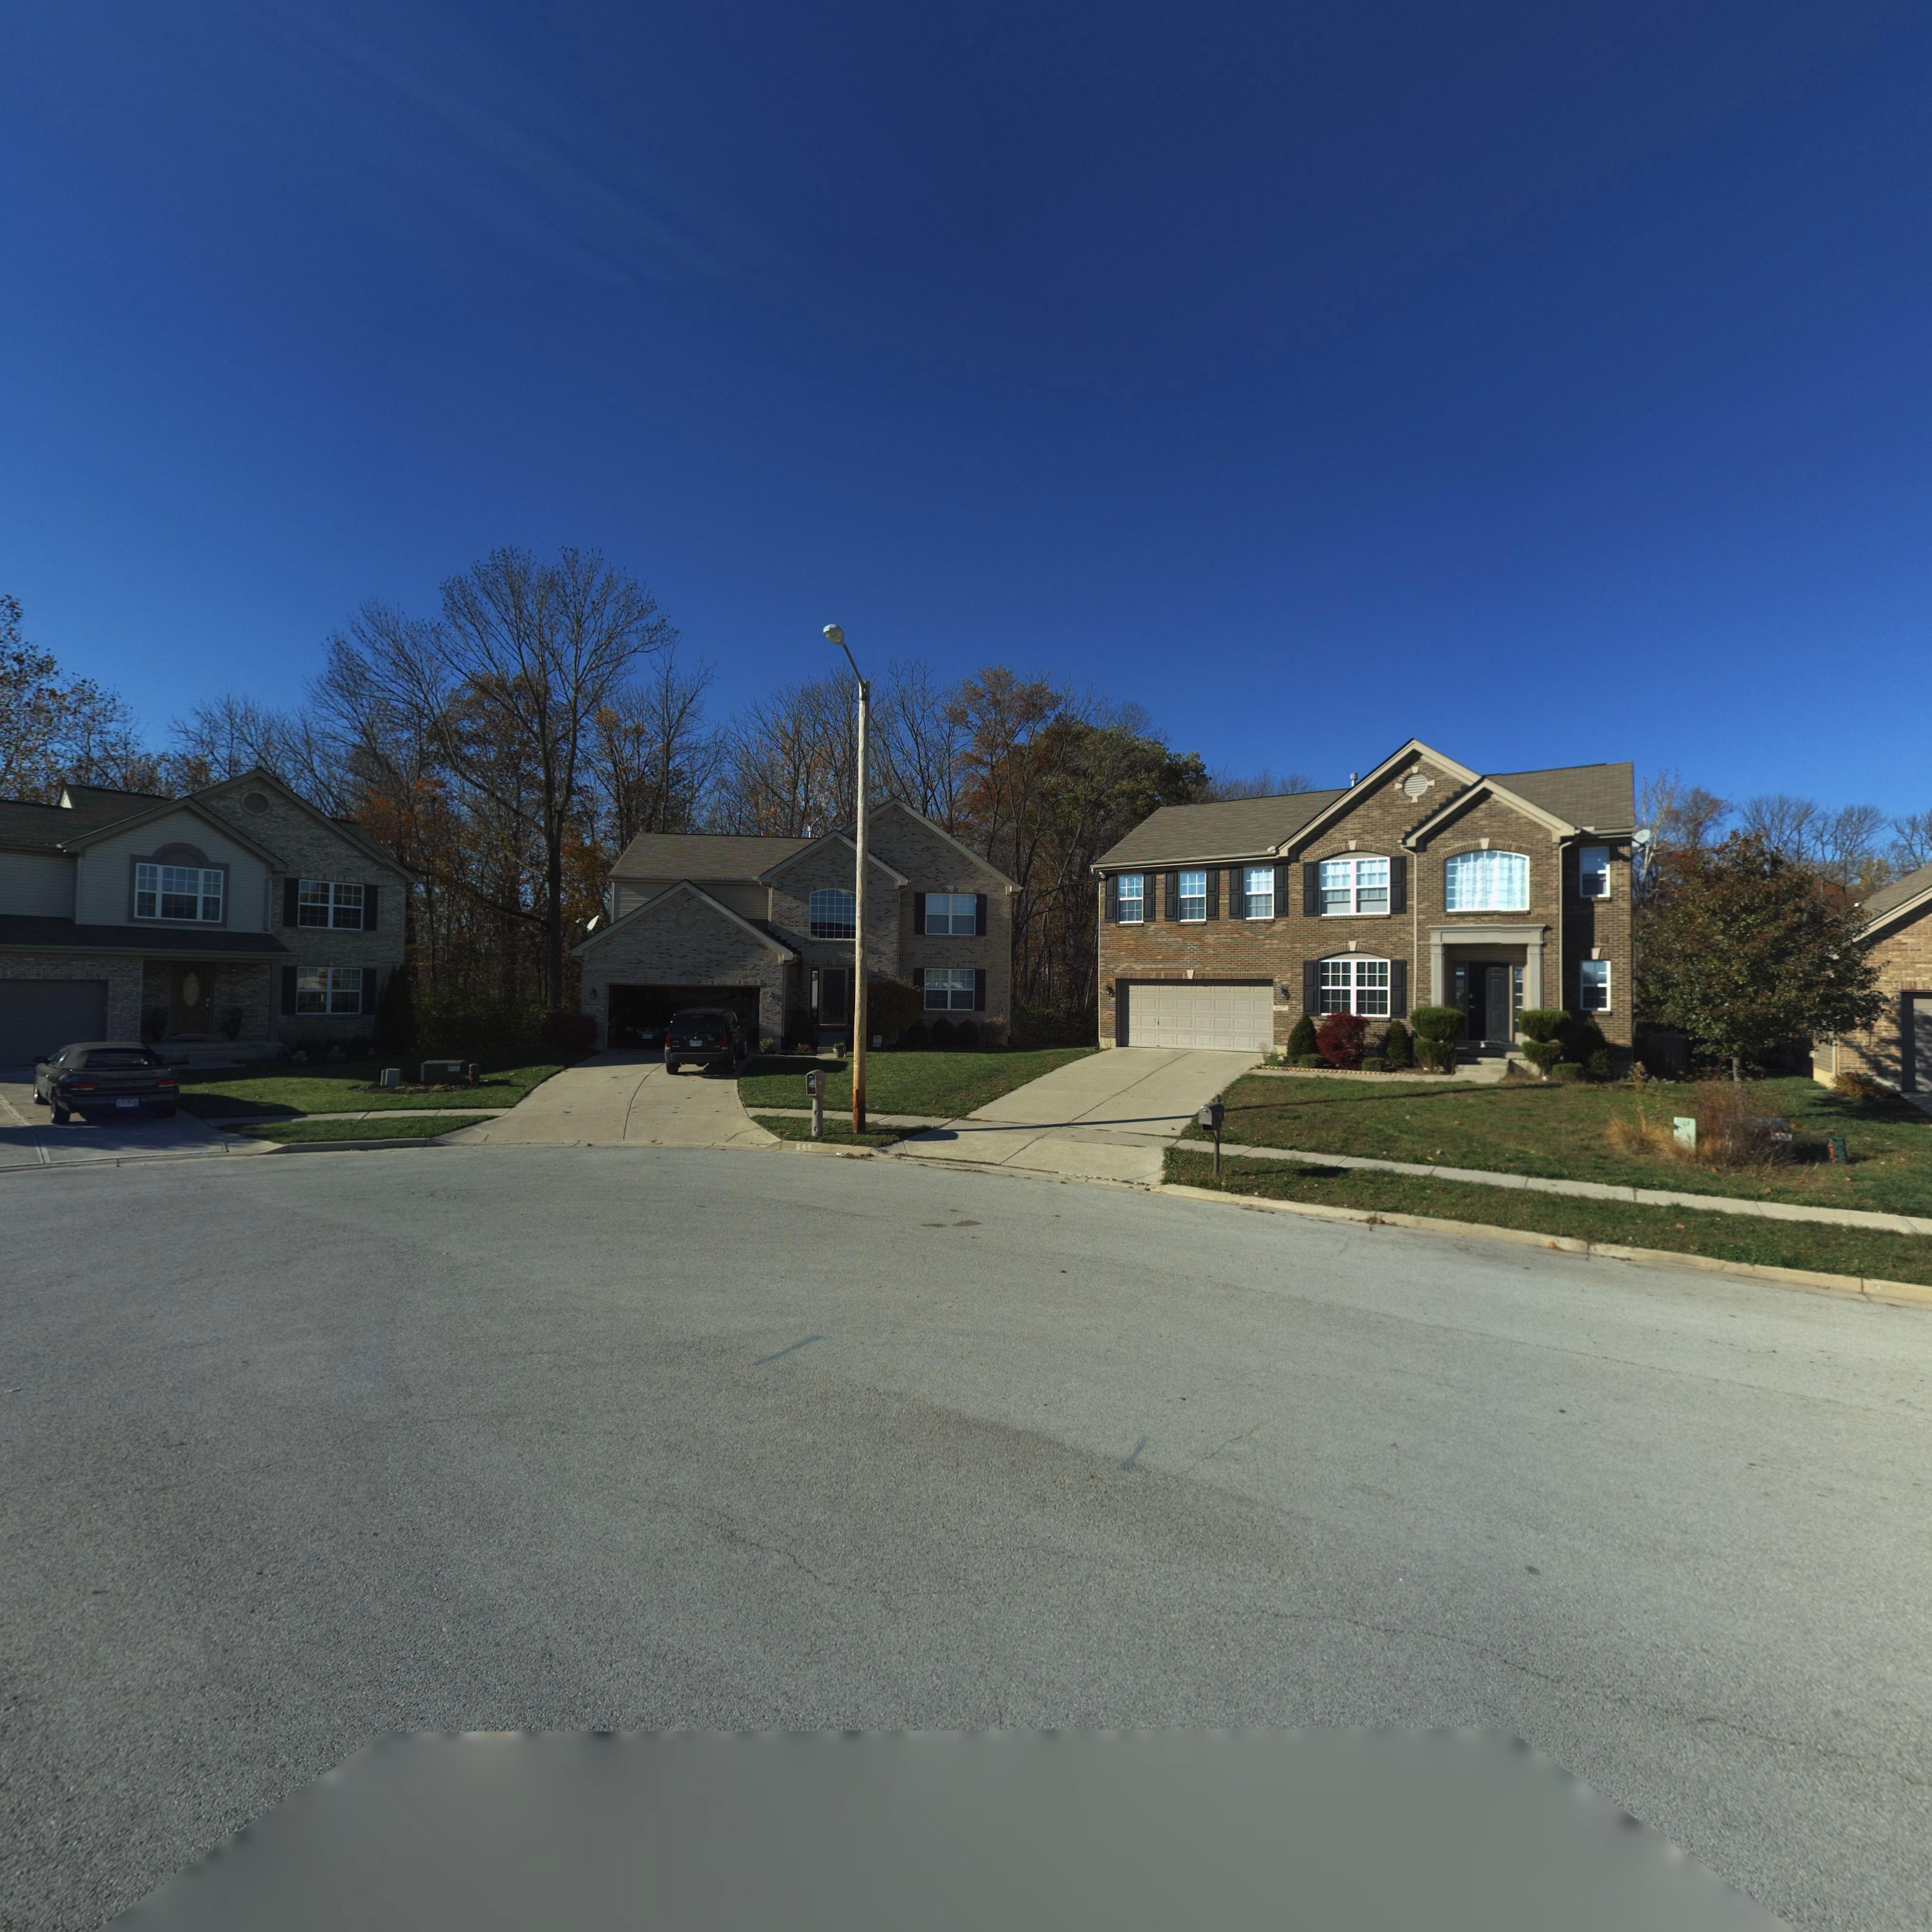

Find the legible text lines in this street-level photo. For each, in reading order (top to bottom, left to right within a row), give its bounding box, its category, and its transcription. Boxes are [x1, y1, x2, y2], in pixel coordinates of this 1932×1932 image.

[272, 977, 278, 992] StreetNumber: *11
[766, 1004, 776, 1008] StreetNumber: 609
[1275, 1005, 1286, 1011] StreetNumber: 607
[795, 1143, 812, 1151] StreetNumber: 609